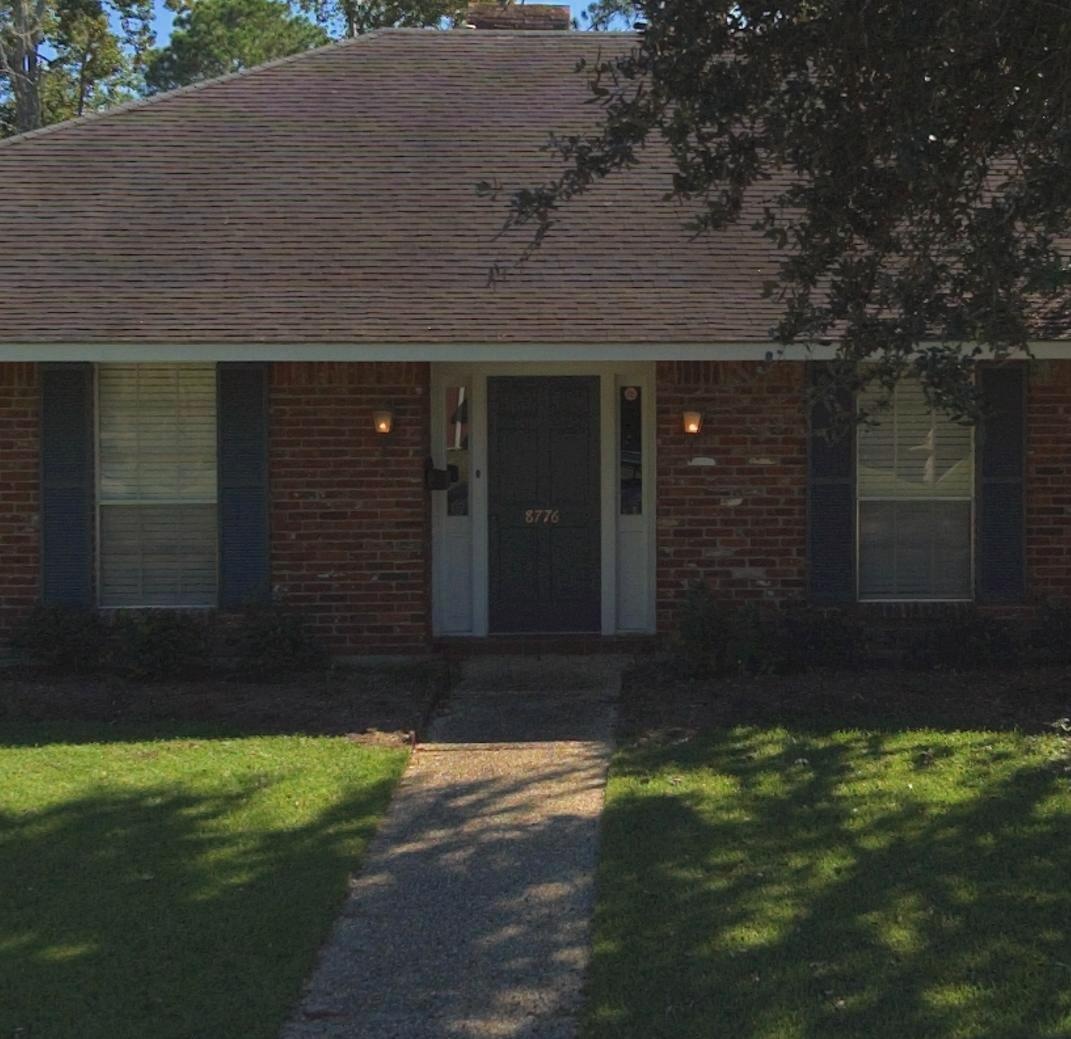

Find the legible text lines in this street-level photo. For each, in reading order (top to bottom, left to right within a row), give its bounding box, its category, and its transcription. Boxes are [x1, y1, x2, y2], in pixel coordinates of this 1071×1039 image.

[523, 507, 562, 525] StreetNumber: 8776